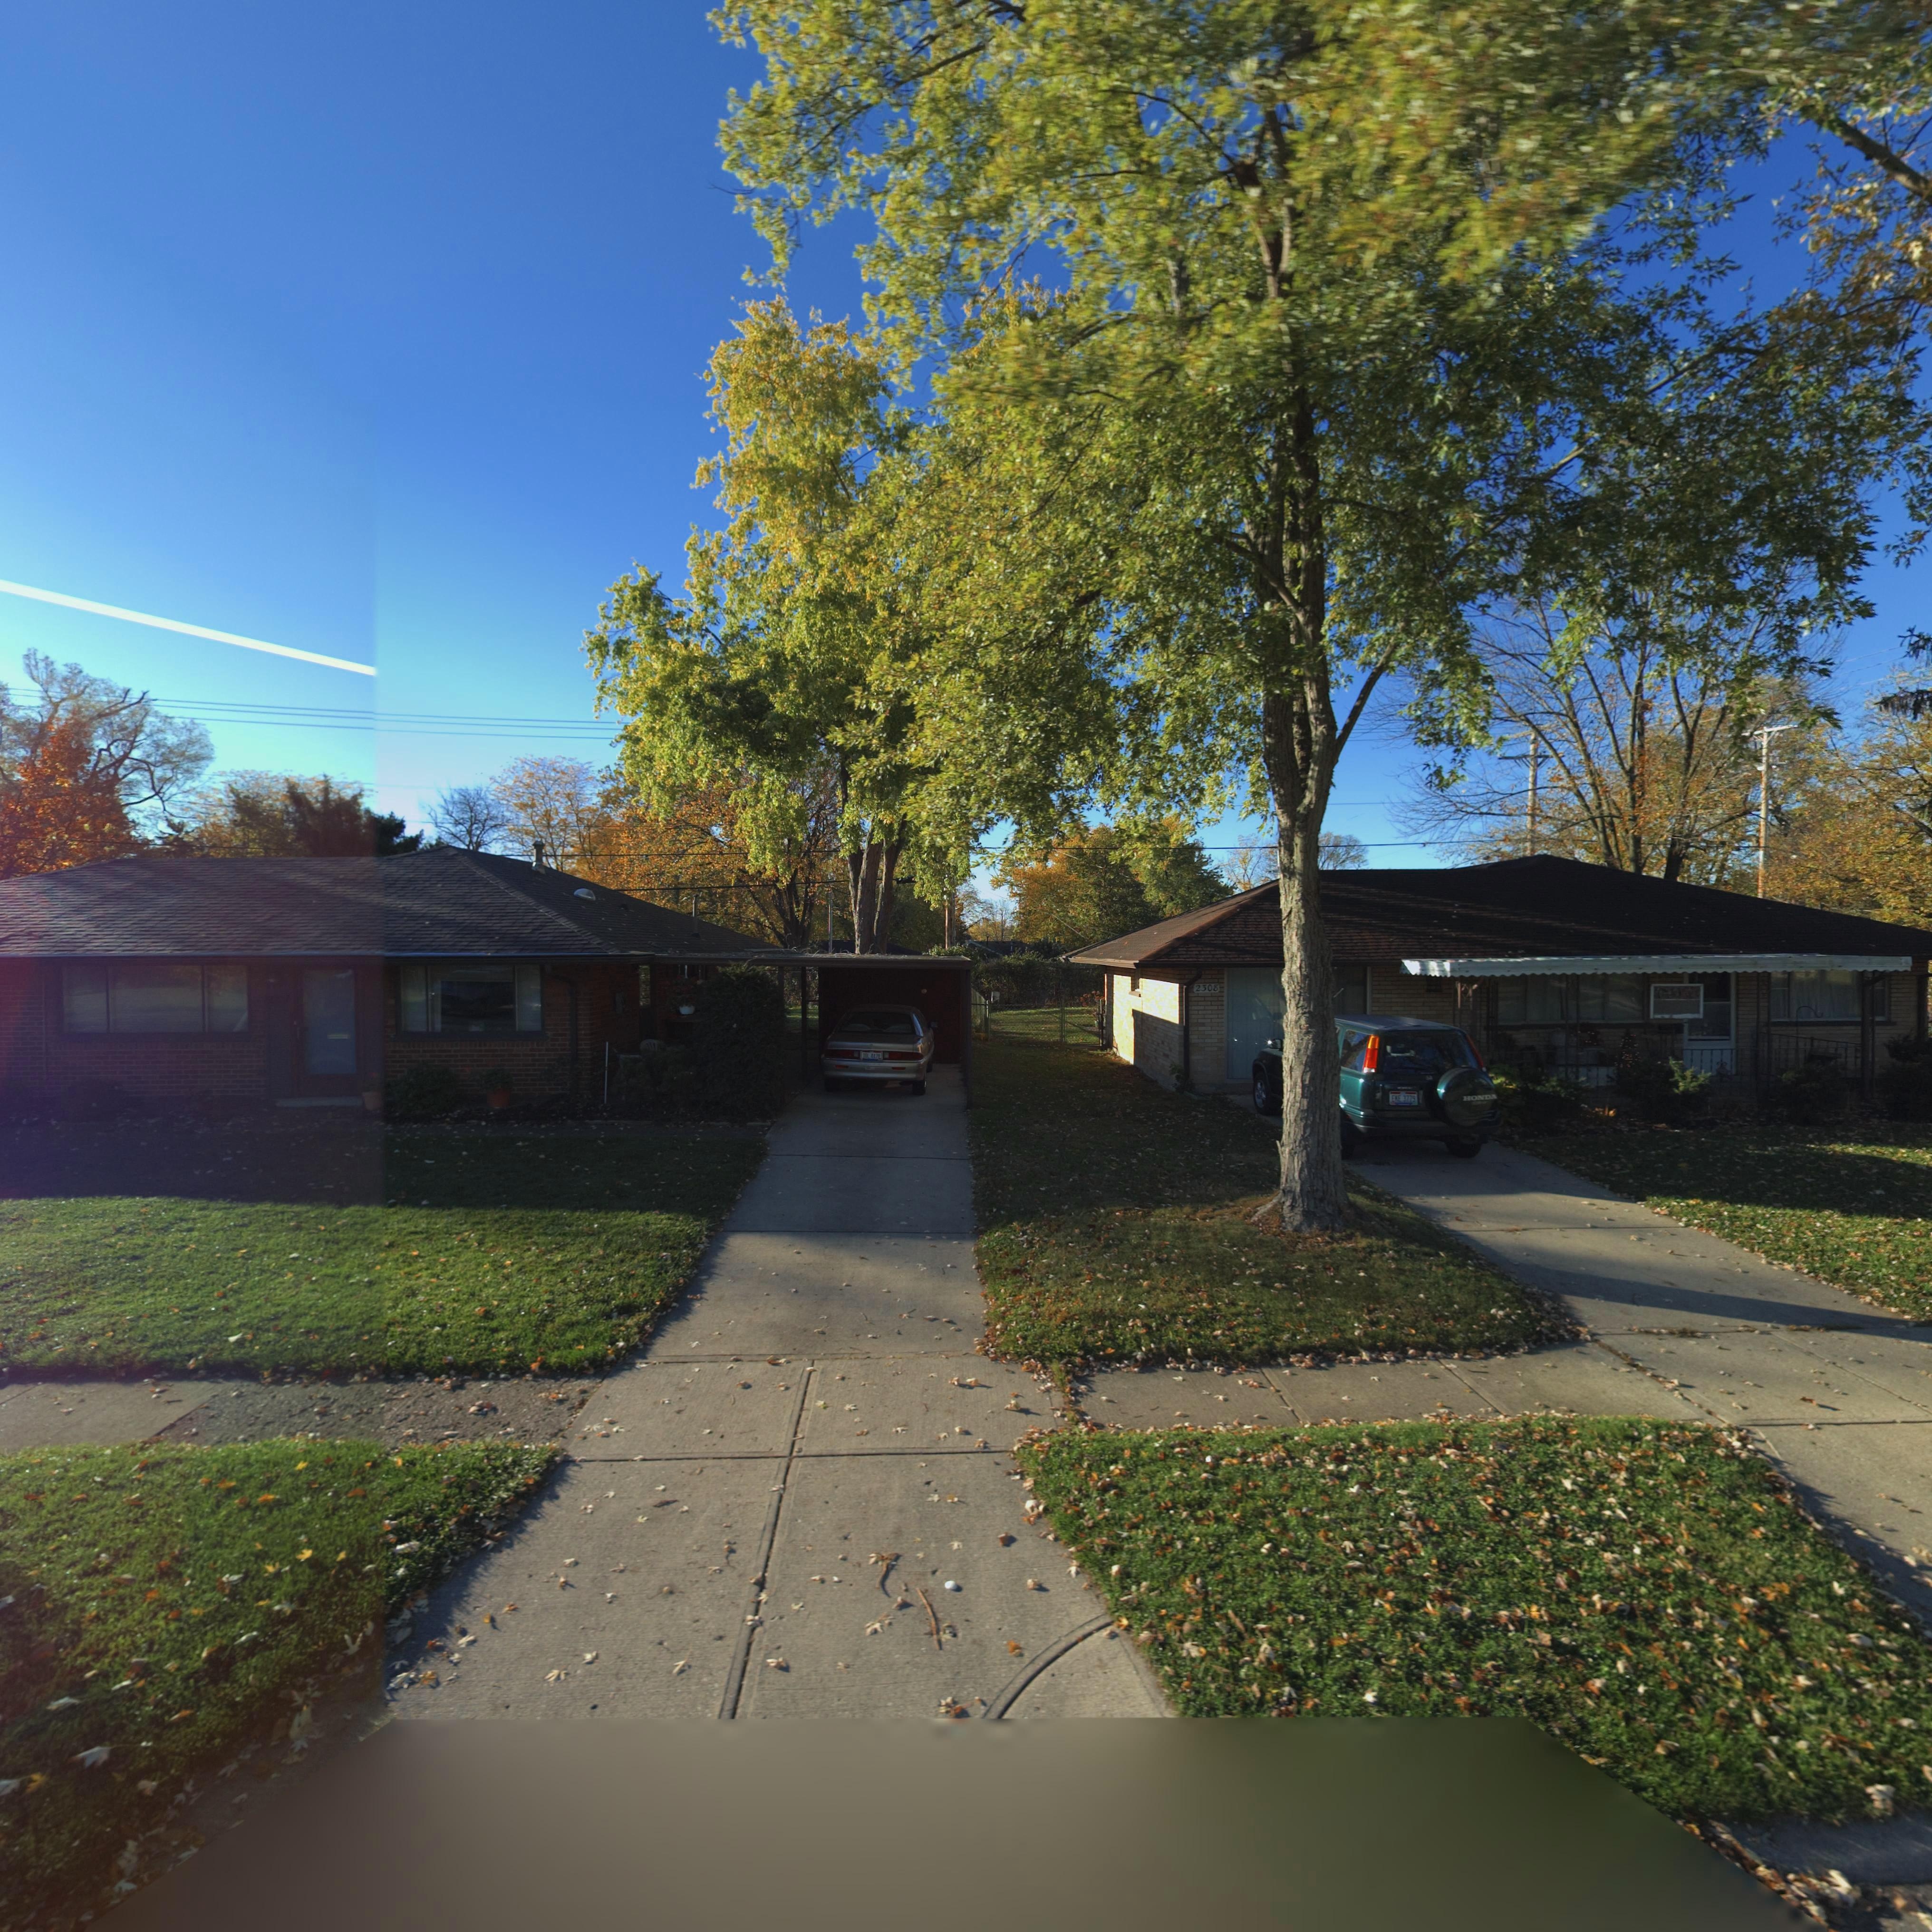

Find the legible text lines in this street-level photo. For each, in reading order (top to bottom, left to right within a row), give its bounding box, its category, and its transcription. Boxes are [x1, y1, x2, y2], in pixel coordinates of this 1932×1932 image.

[1195, 984, 1219, 992] StreetNumber: 2308